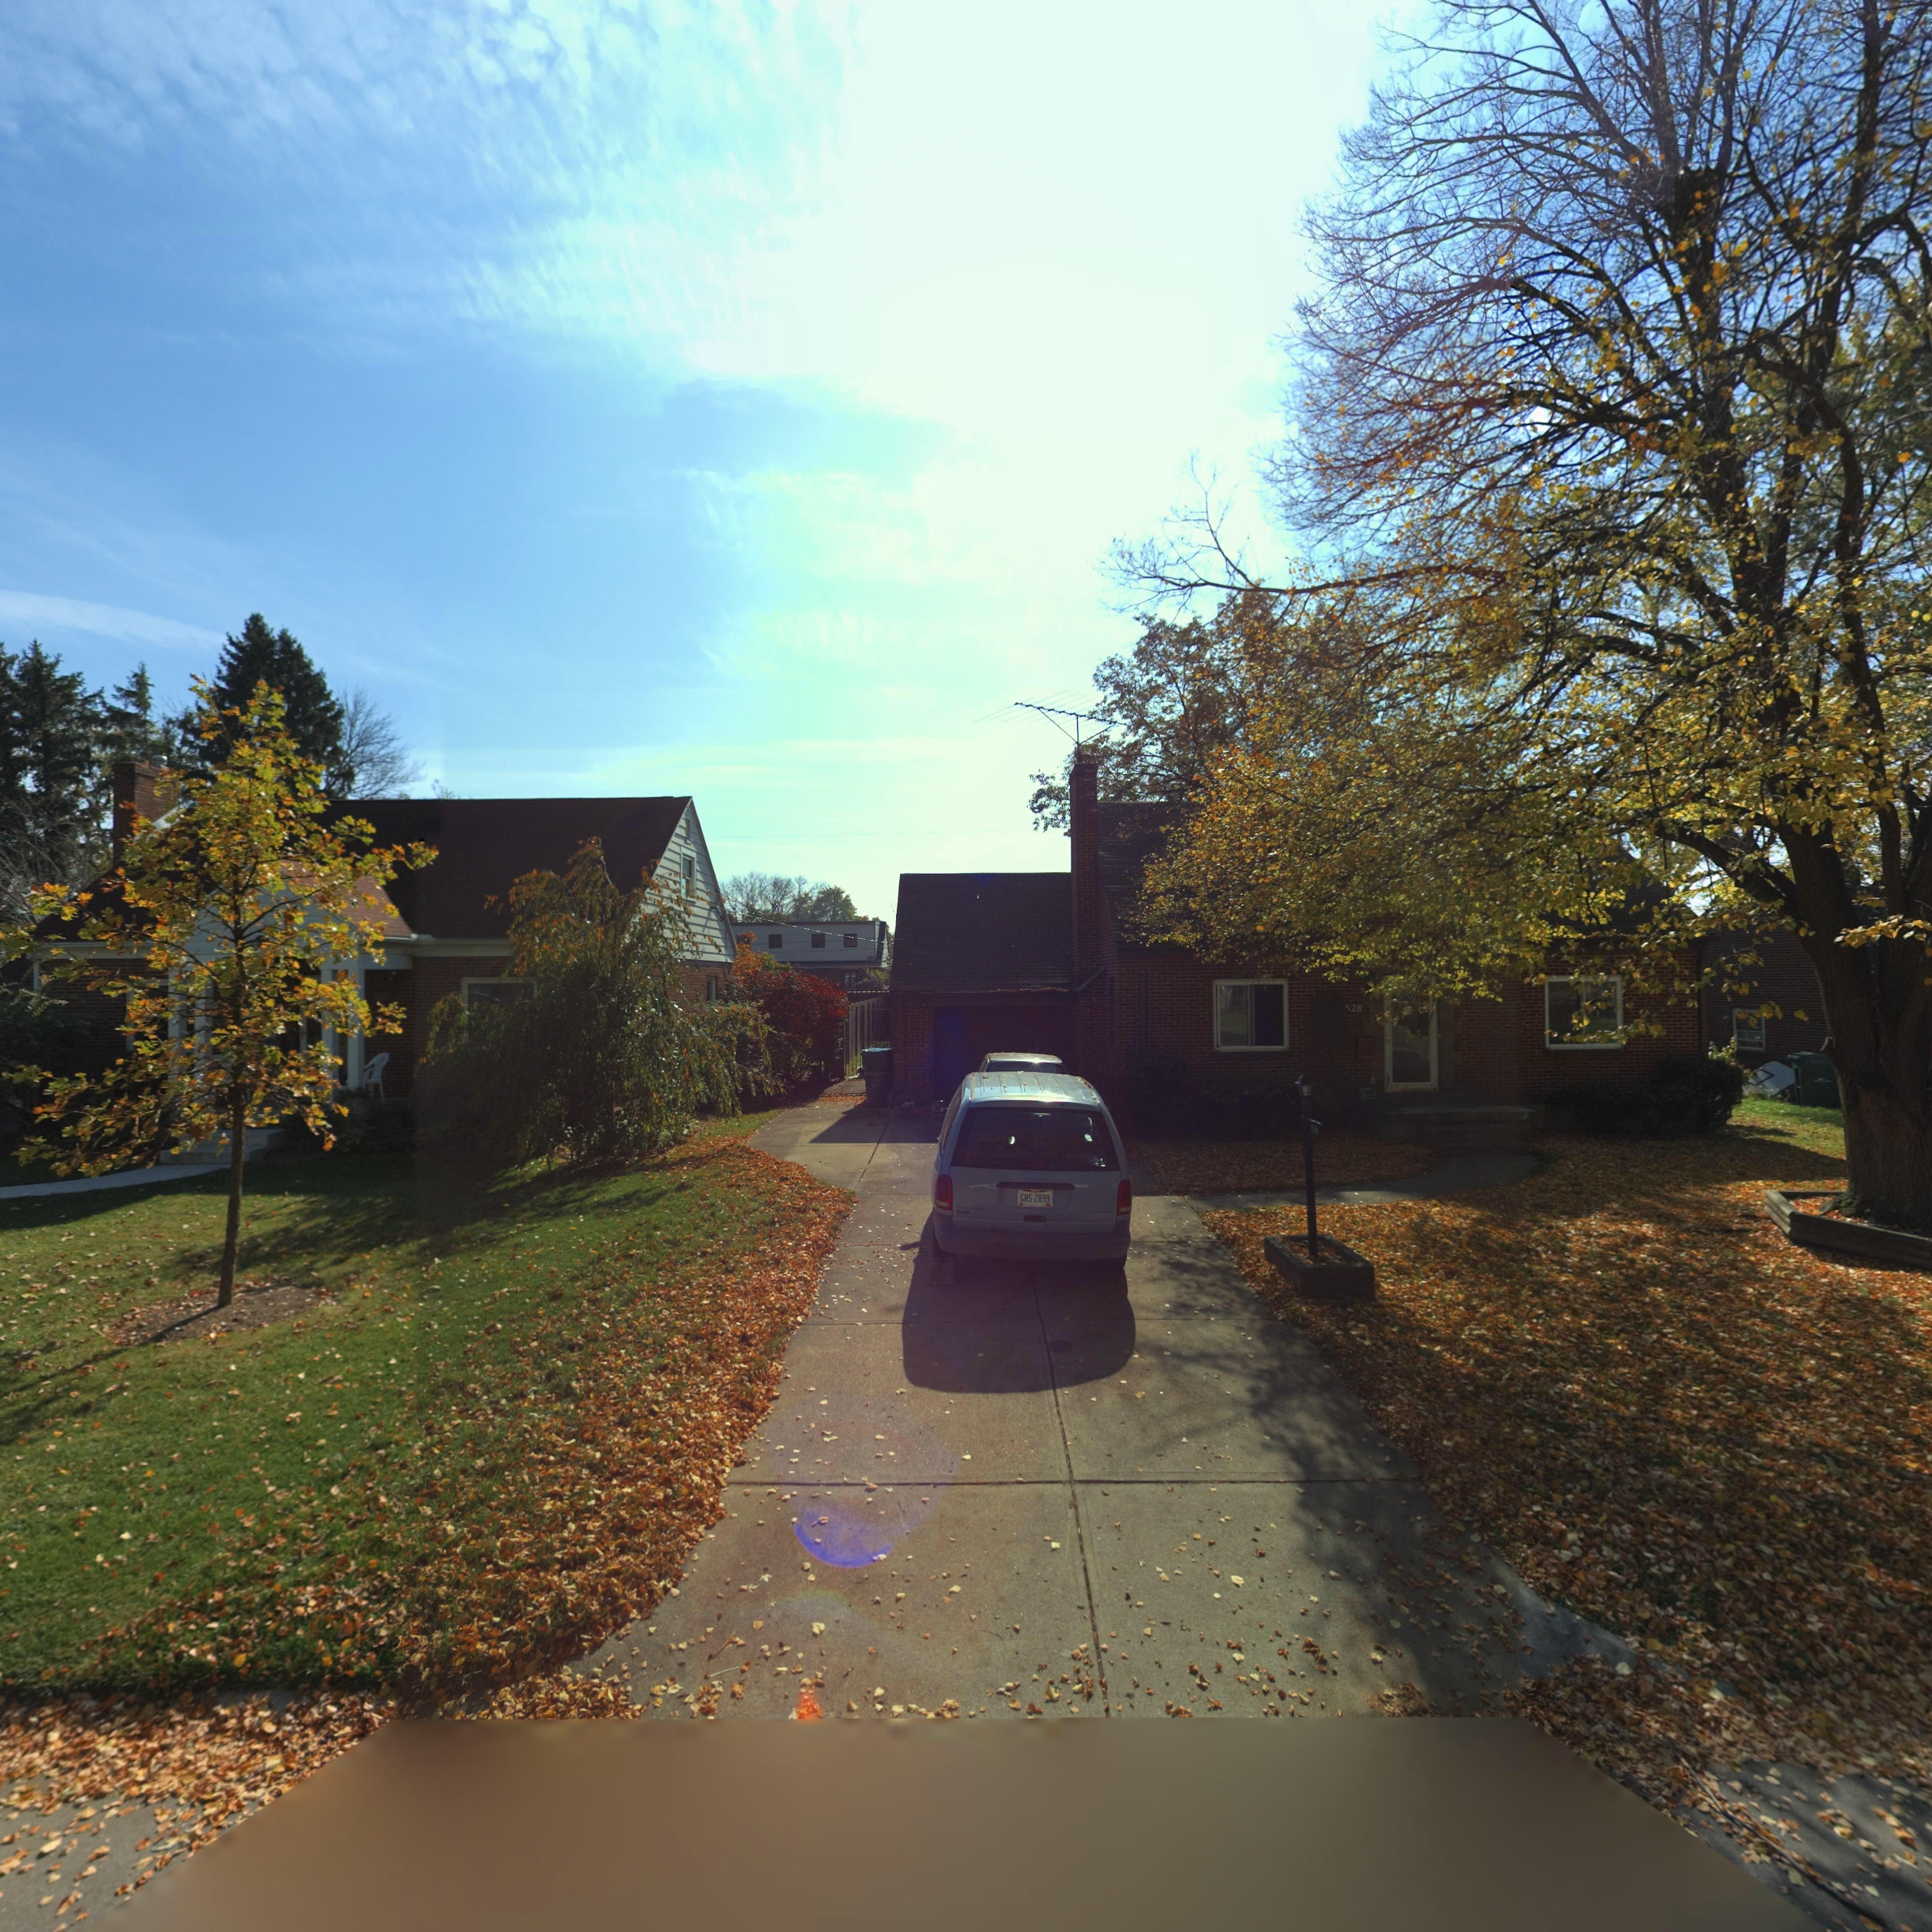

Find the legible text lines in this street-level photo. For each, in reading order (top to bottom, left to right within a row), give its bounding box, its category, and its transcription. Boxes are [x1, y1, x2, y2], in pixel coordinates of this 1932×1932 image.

[1344, 1003, 1362, 1013] StreetNumber: 528
[1020, 1193, 1050, 1203] None: GHS*2899